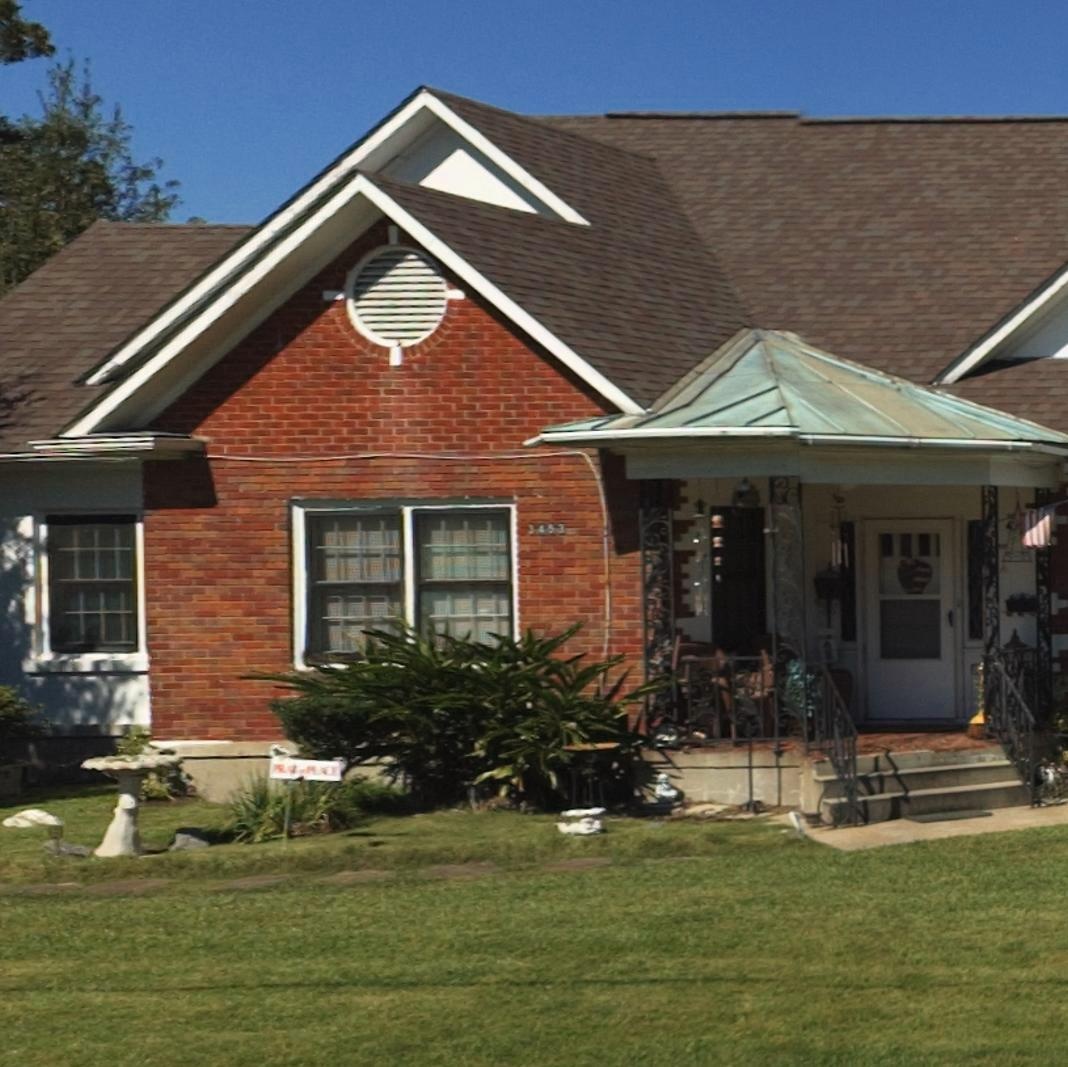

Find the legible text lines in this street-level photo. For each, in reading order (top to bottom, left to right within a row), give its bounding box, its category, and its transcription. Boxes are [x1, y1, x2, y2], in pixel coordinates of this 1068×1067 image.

[527, 522, 565, 535] StreetNumber: 3453